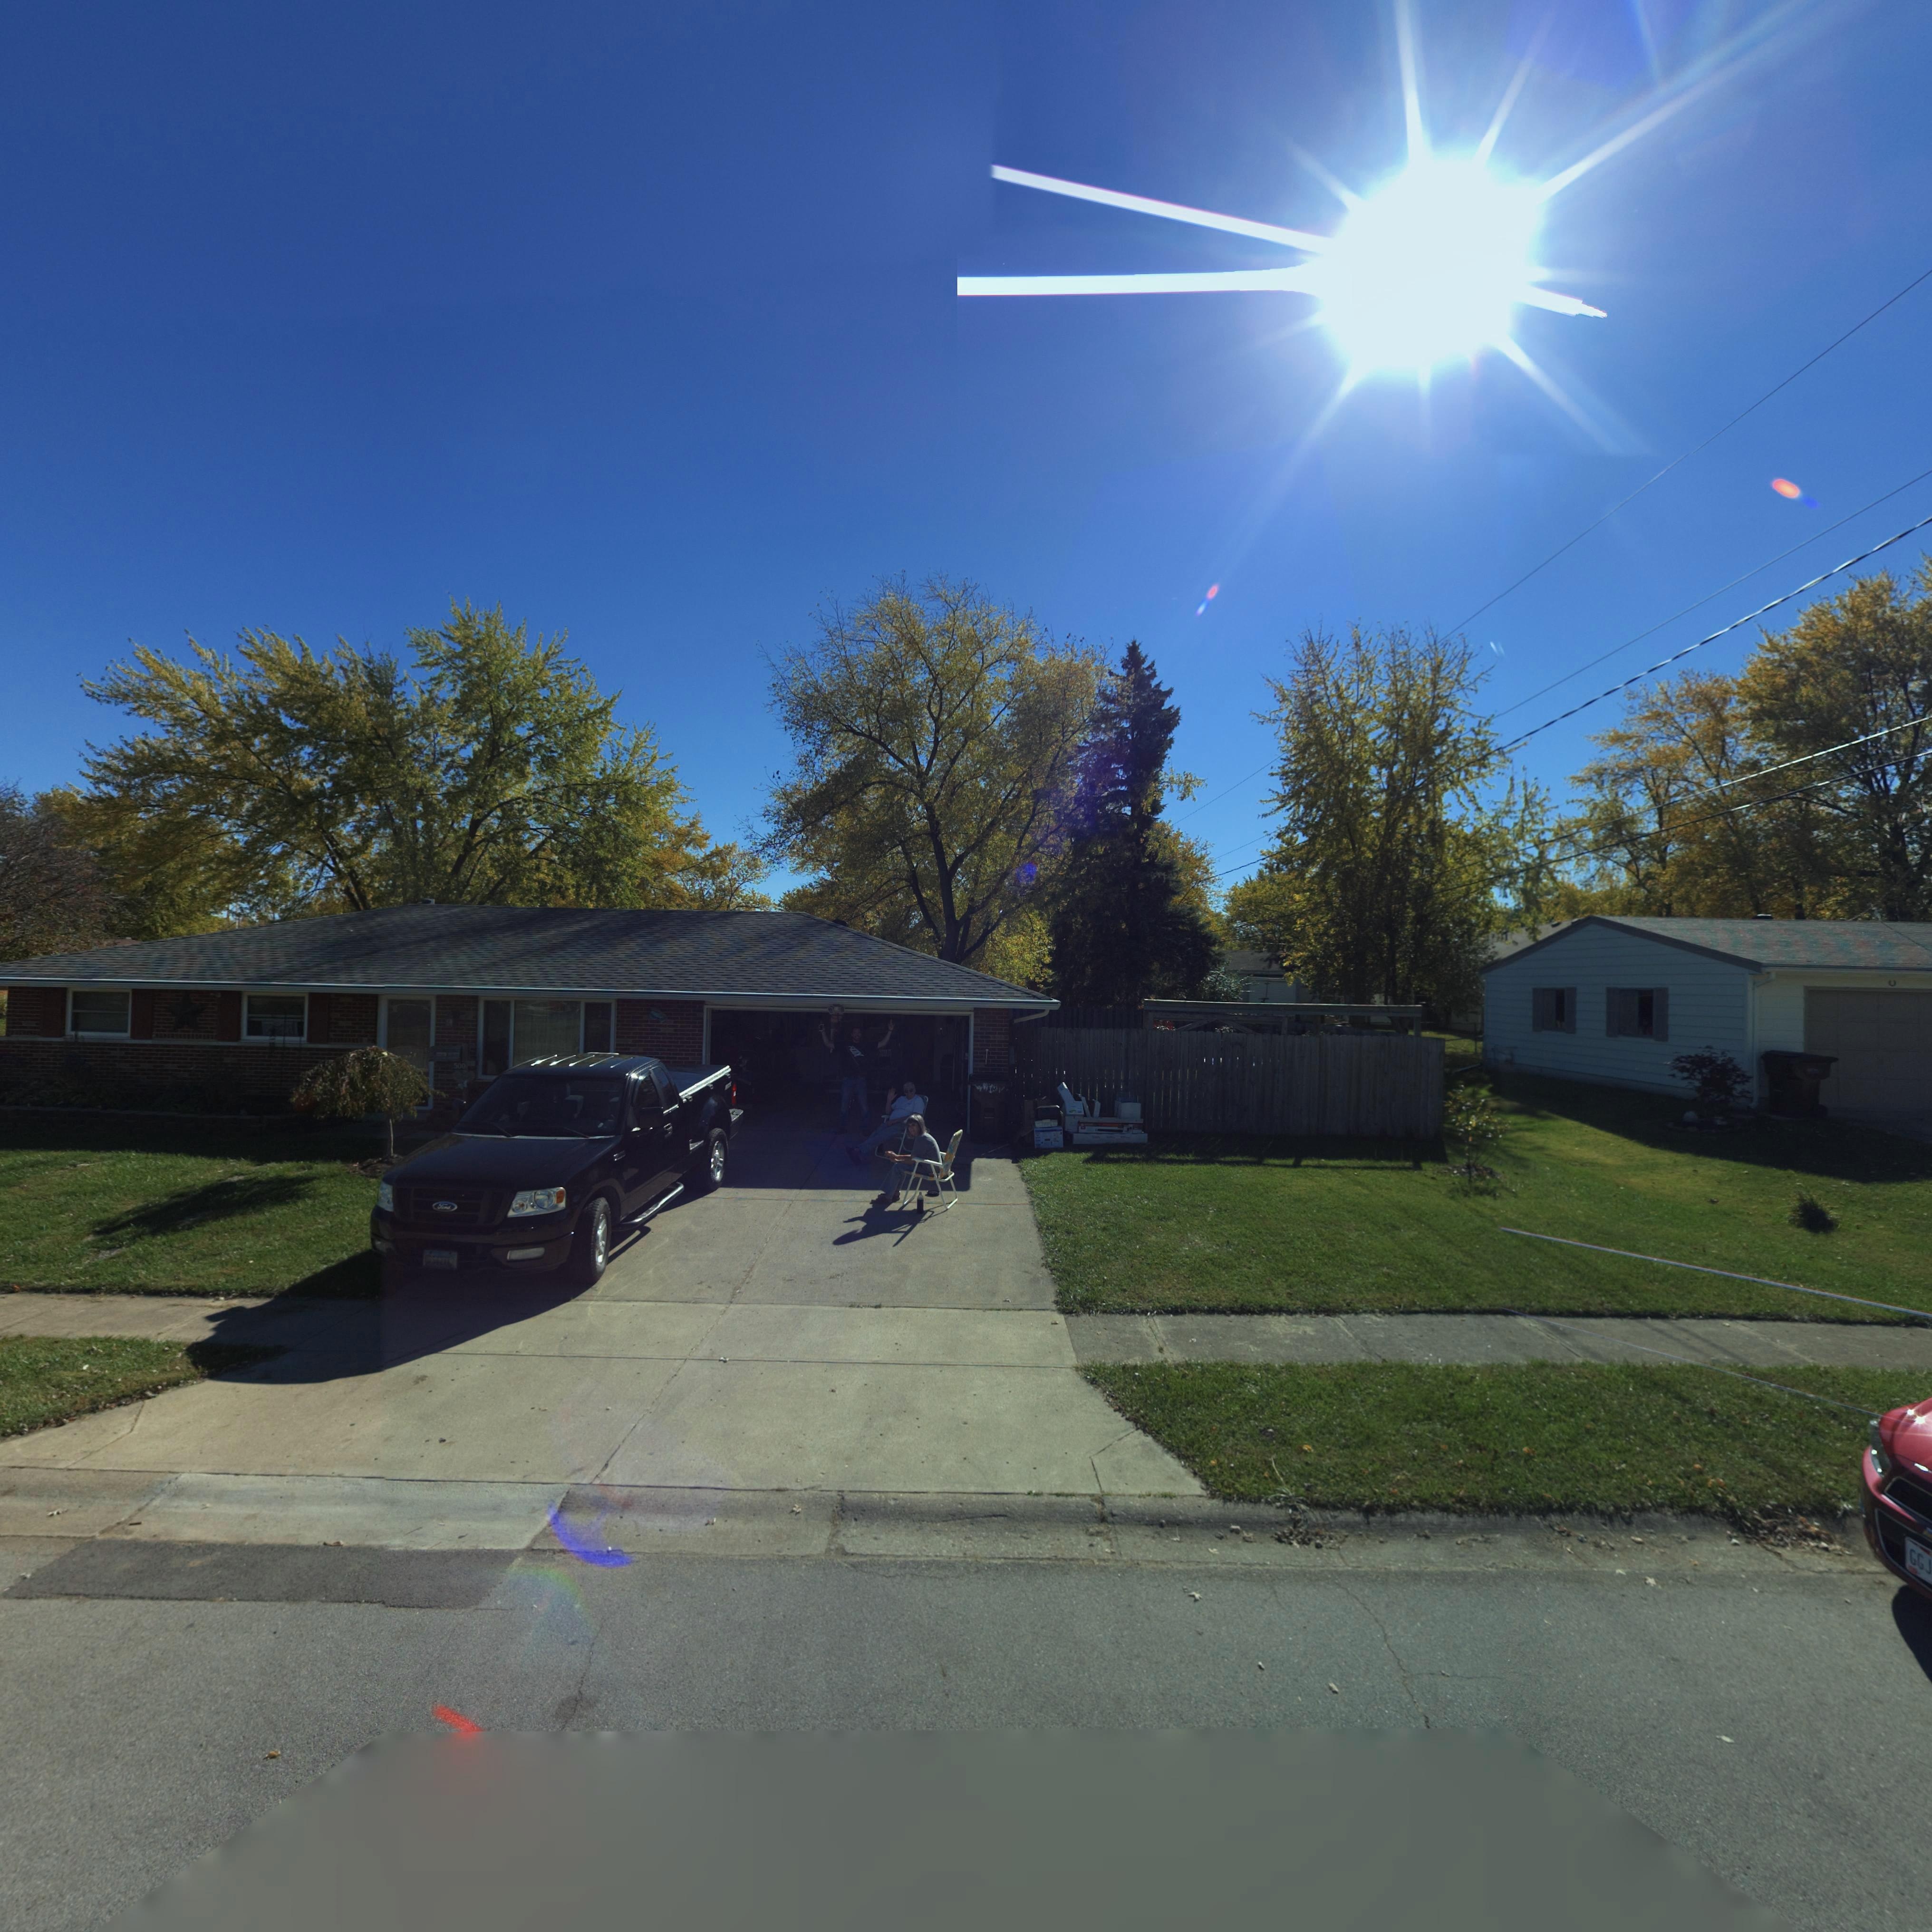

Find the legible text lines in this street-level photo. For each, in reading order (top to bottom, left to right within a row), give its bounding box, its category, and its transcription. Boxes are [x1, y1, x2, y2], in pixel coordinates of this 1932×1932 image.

[453, 1062, 466, 1069] StreetNumber: 500